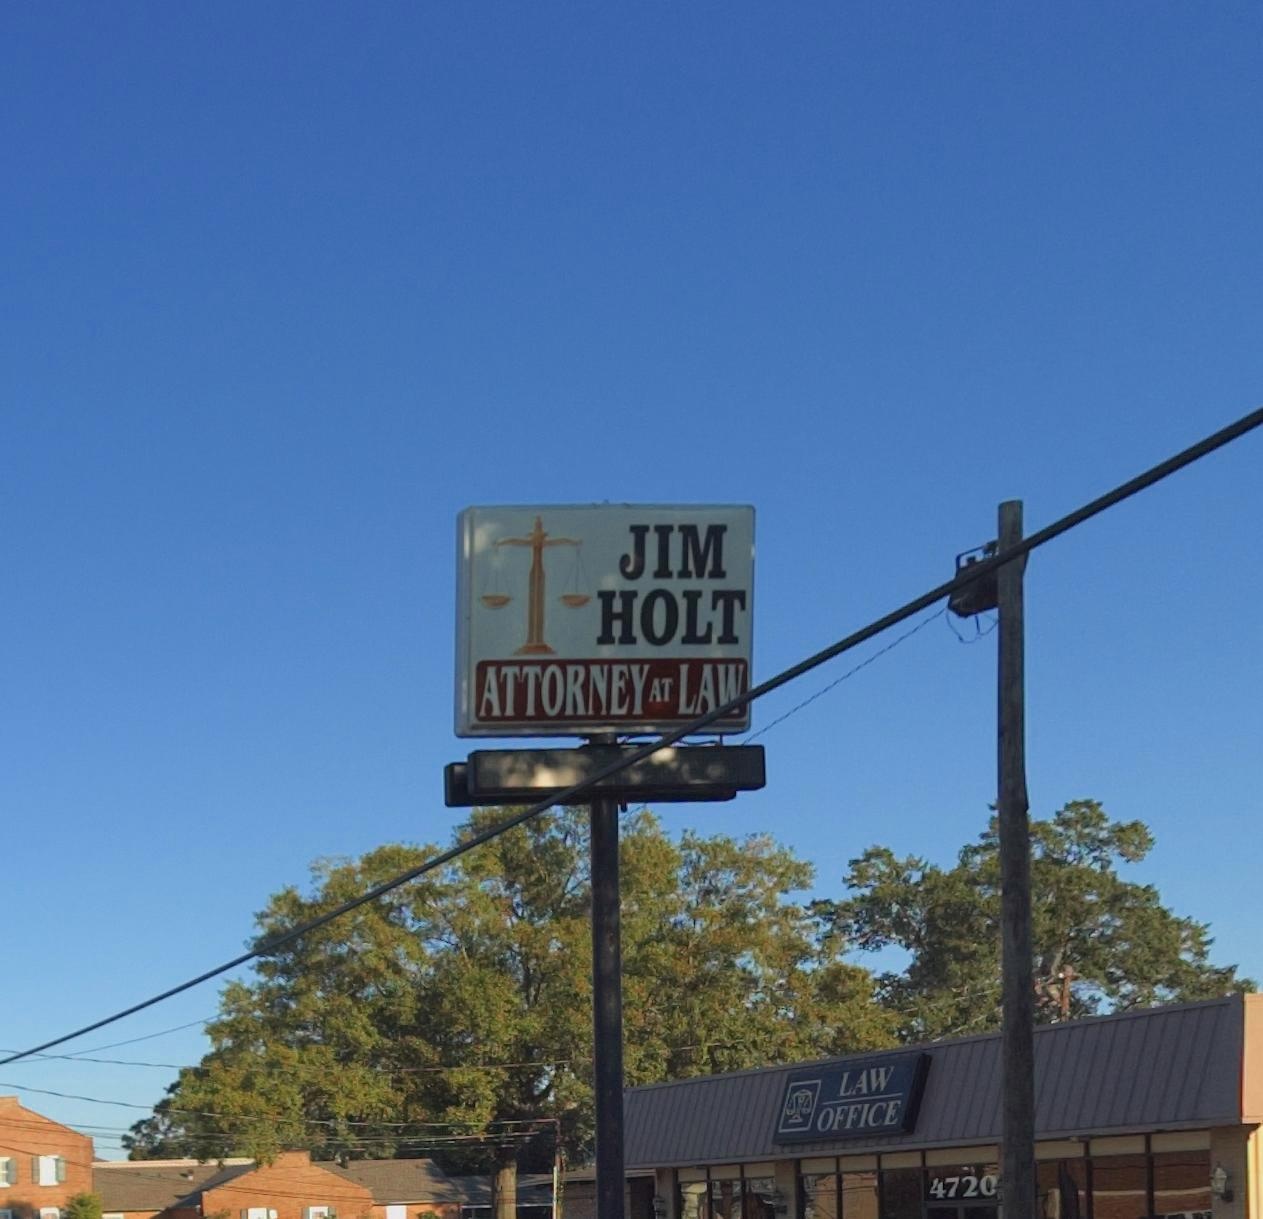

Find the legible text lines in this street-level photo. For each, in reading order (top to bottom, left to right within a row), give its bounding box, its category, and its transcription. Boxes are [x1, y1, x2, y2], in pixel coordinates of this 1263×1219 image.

[618, 523, 728, 581] BusinessName: JIM
[596, 589, 747, 646] BusinessName: HOLT
[477, 662, 745, 718] BusinessName: ATTORNEY AT LA*
[835, 1065, 897, 1098] None: LAW
[816, 1097, 904, 1133] None: OFFICE
[928, 1174, 998, 1199] StreetNumber: 4720